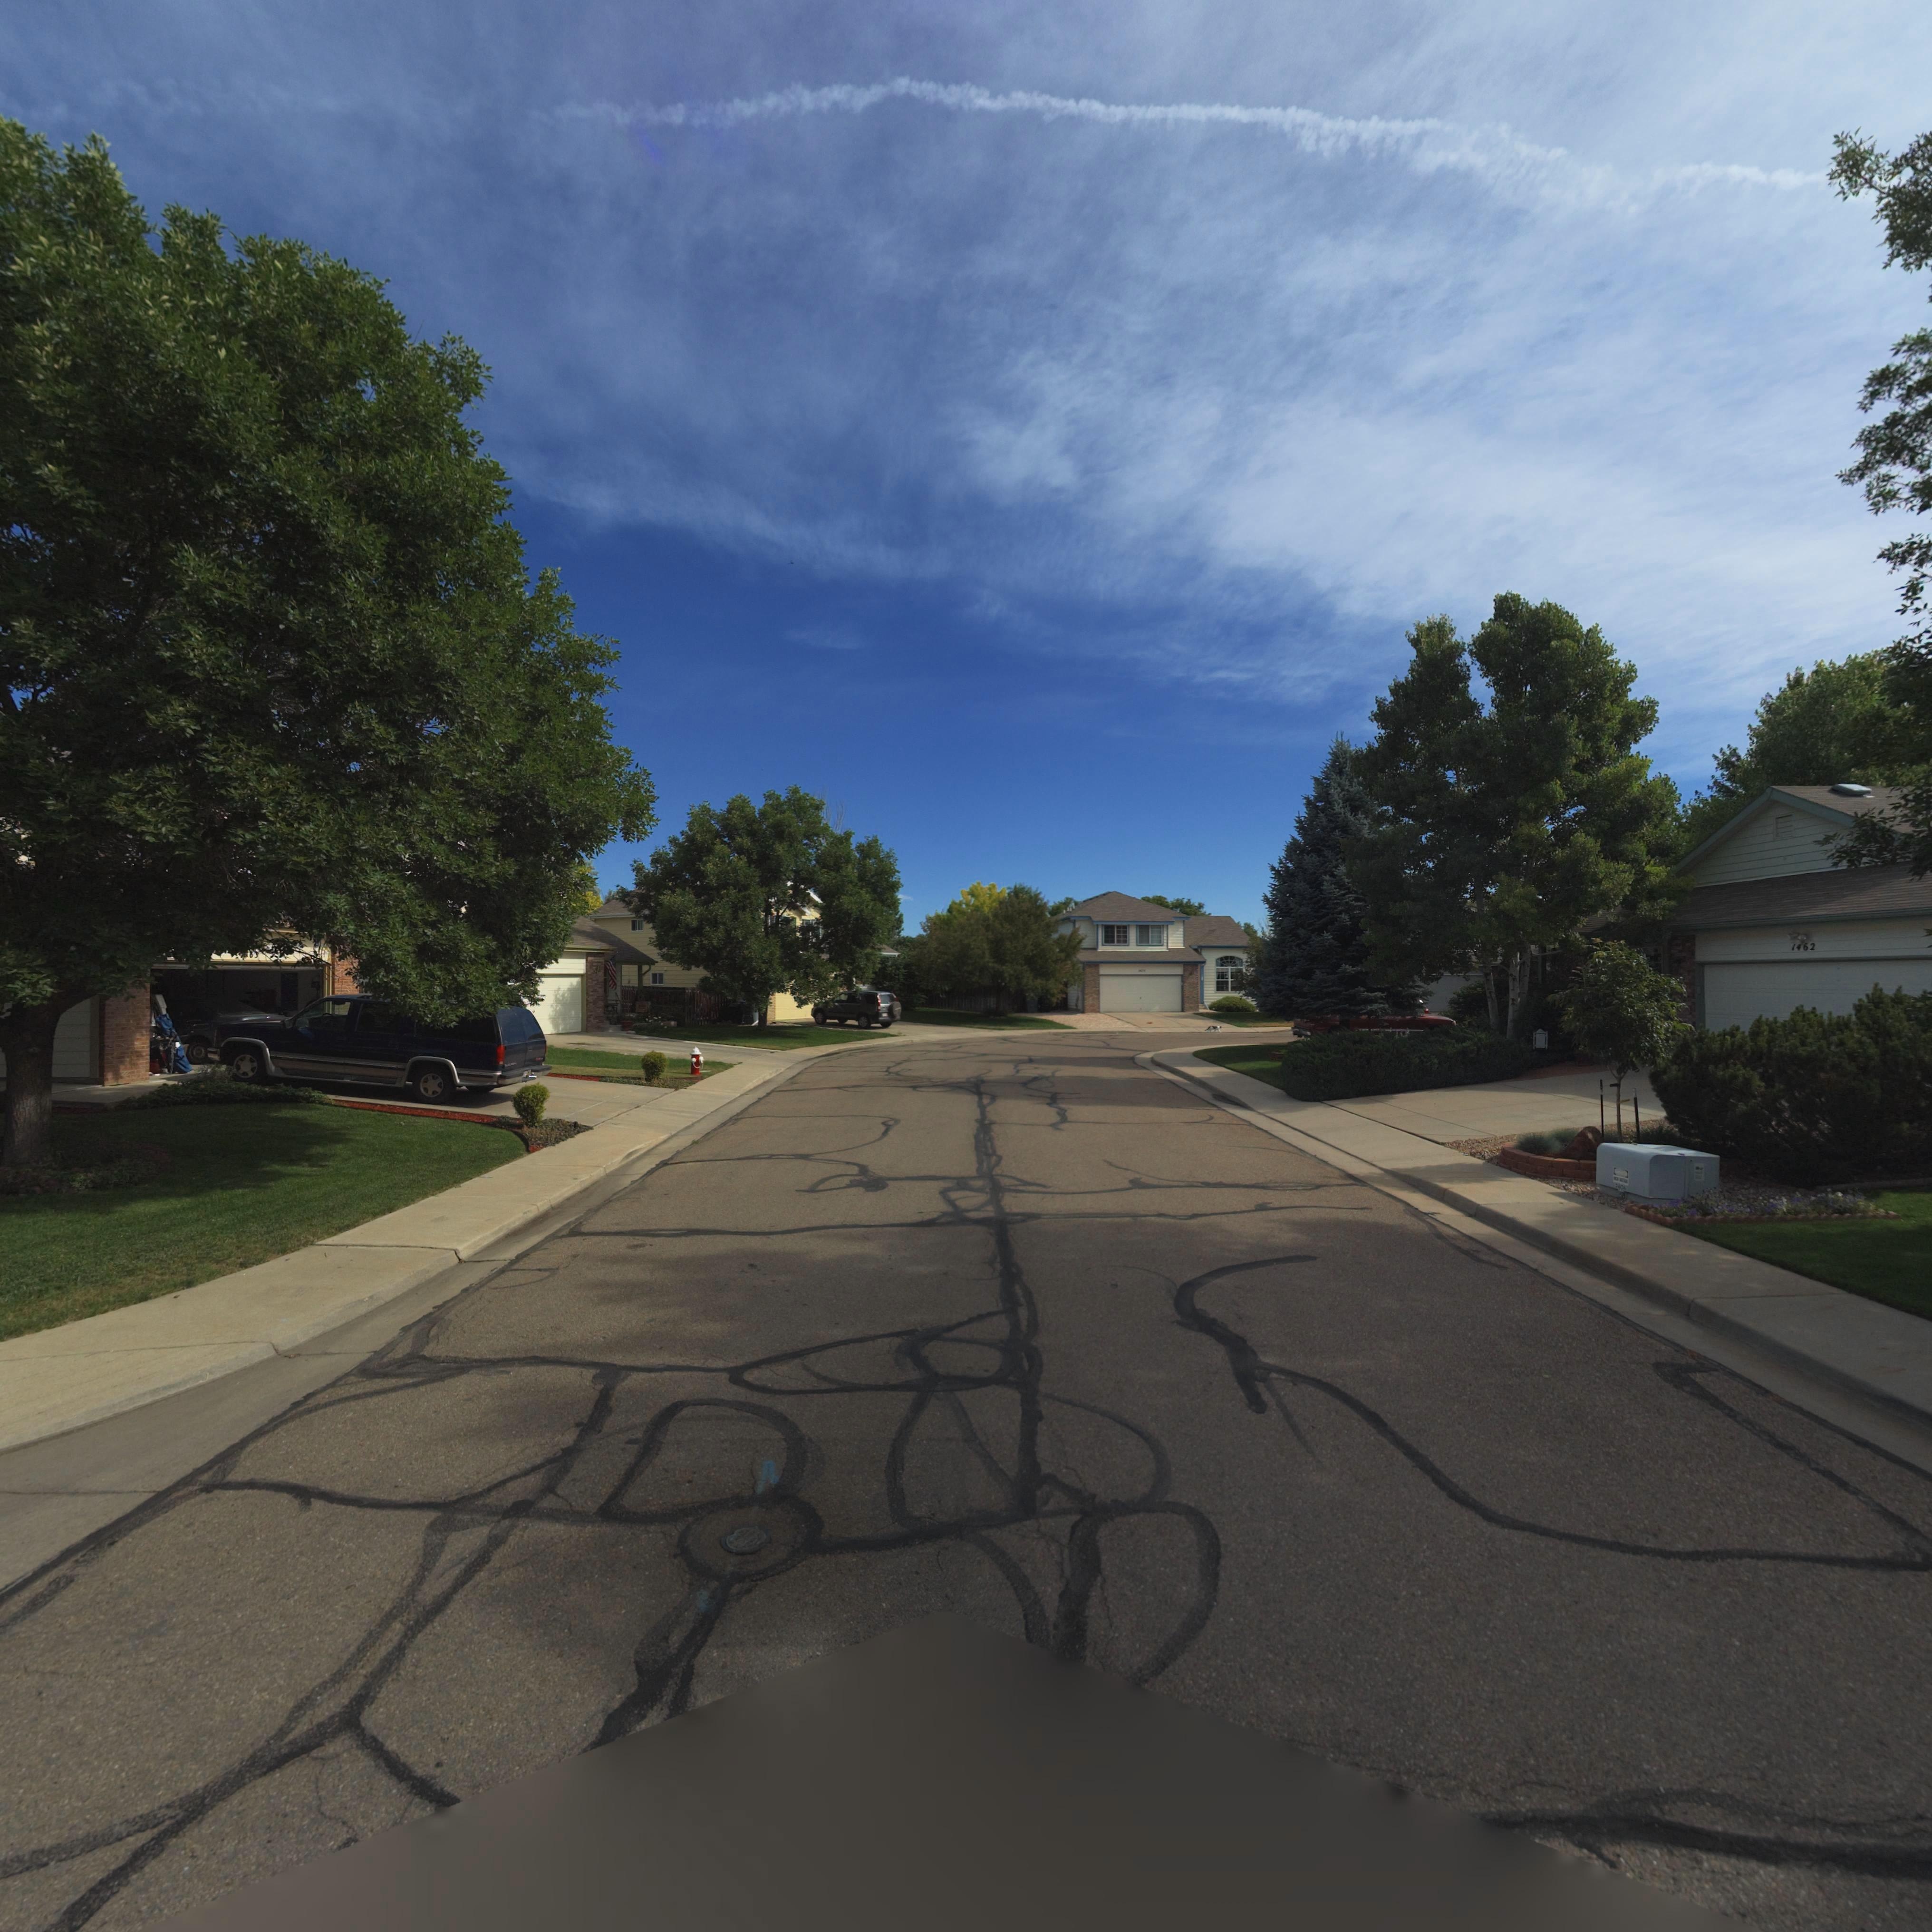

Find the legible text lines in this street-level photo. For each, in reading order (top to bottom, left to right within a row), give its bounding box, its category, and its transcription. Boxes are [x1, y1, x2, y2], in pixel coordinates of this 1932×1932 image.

[1791, 942, 1816, 951] StreetNumber: 1462
[1137, 968, 1146, 973] StreetNumber: *475